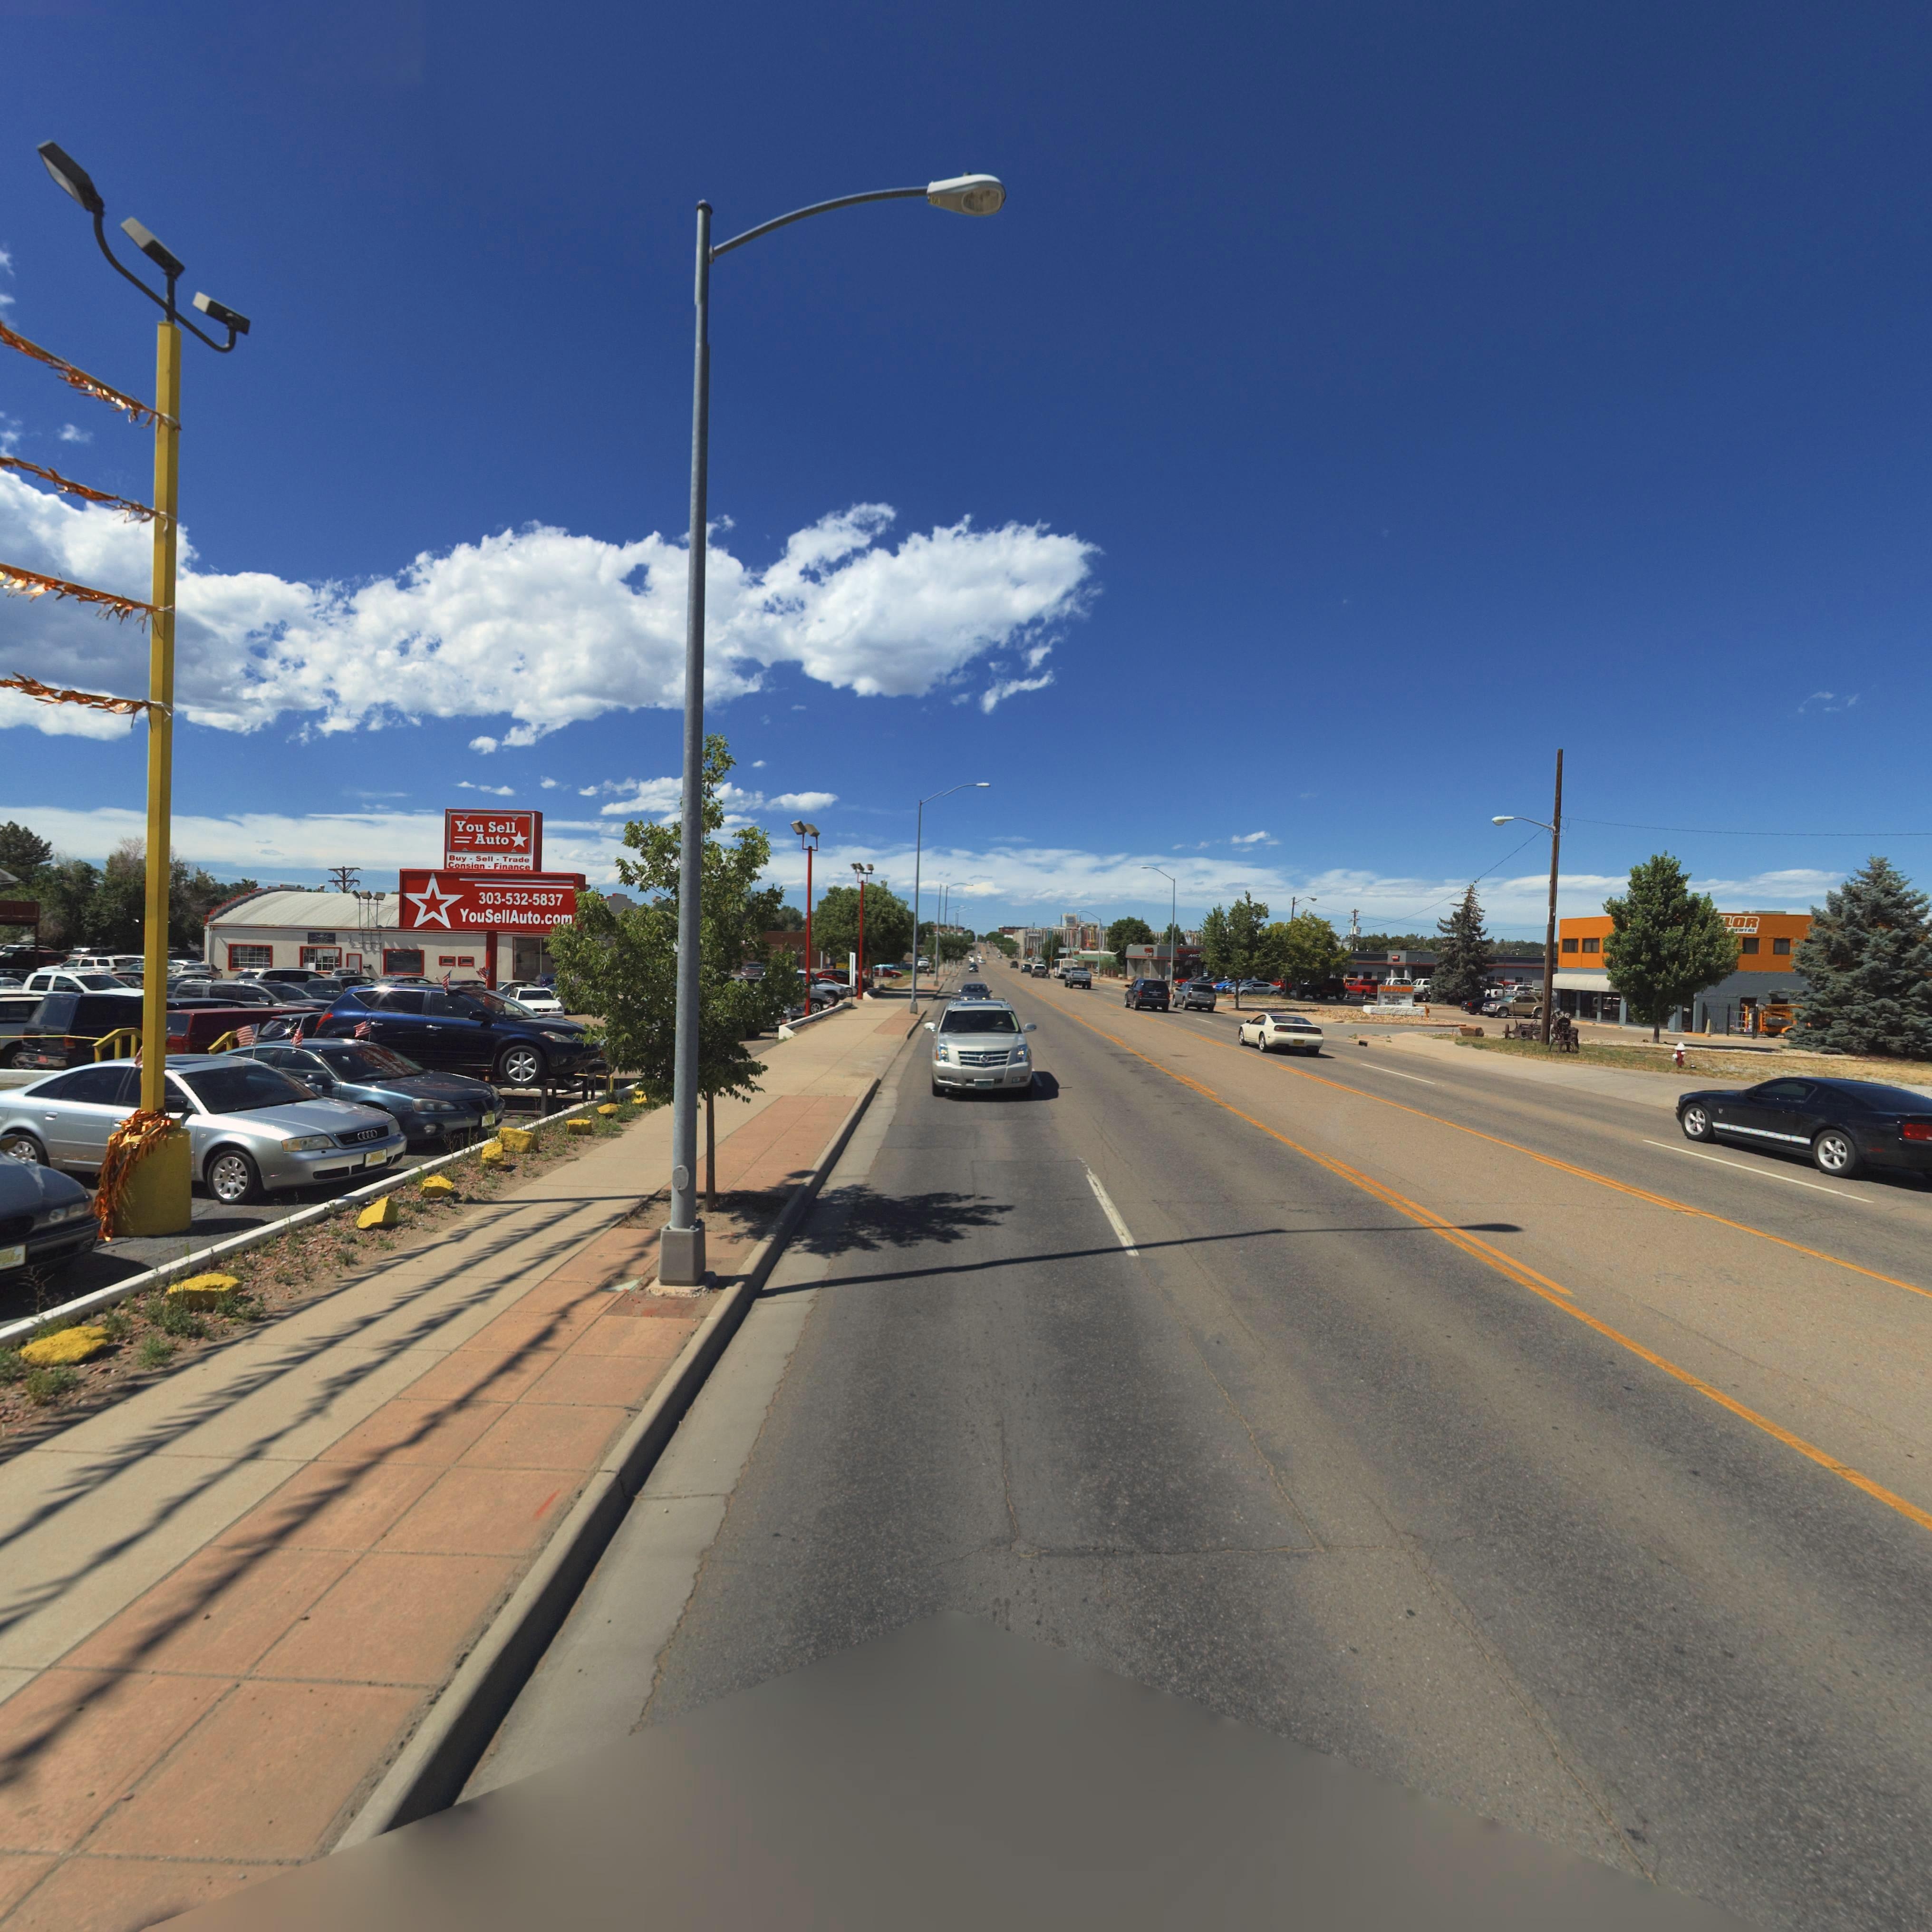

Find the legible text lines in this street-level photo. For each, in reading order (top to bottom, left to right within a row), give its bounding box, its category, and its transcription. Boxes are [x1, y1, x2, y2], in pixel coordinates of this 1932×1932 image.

[454, 820, 516, 833] BusinessName: You Sell
[474, 833, 509, 845] BusinessName: Auto
[1732, 916, 1758, 928] BusinessName: OR
[1735, 927, 1756, 932] BusinessName: E*TAL
[1176, 947, 1195, 954] BusinessName: BO
[1188, 954, 1200, 957] BusinessName: MO
[1379, 985, 1413, 993] BusinessName: TAYLO*
[1554, 1011, 1570, 1018] StreetNumber: 136